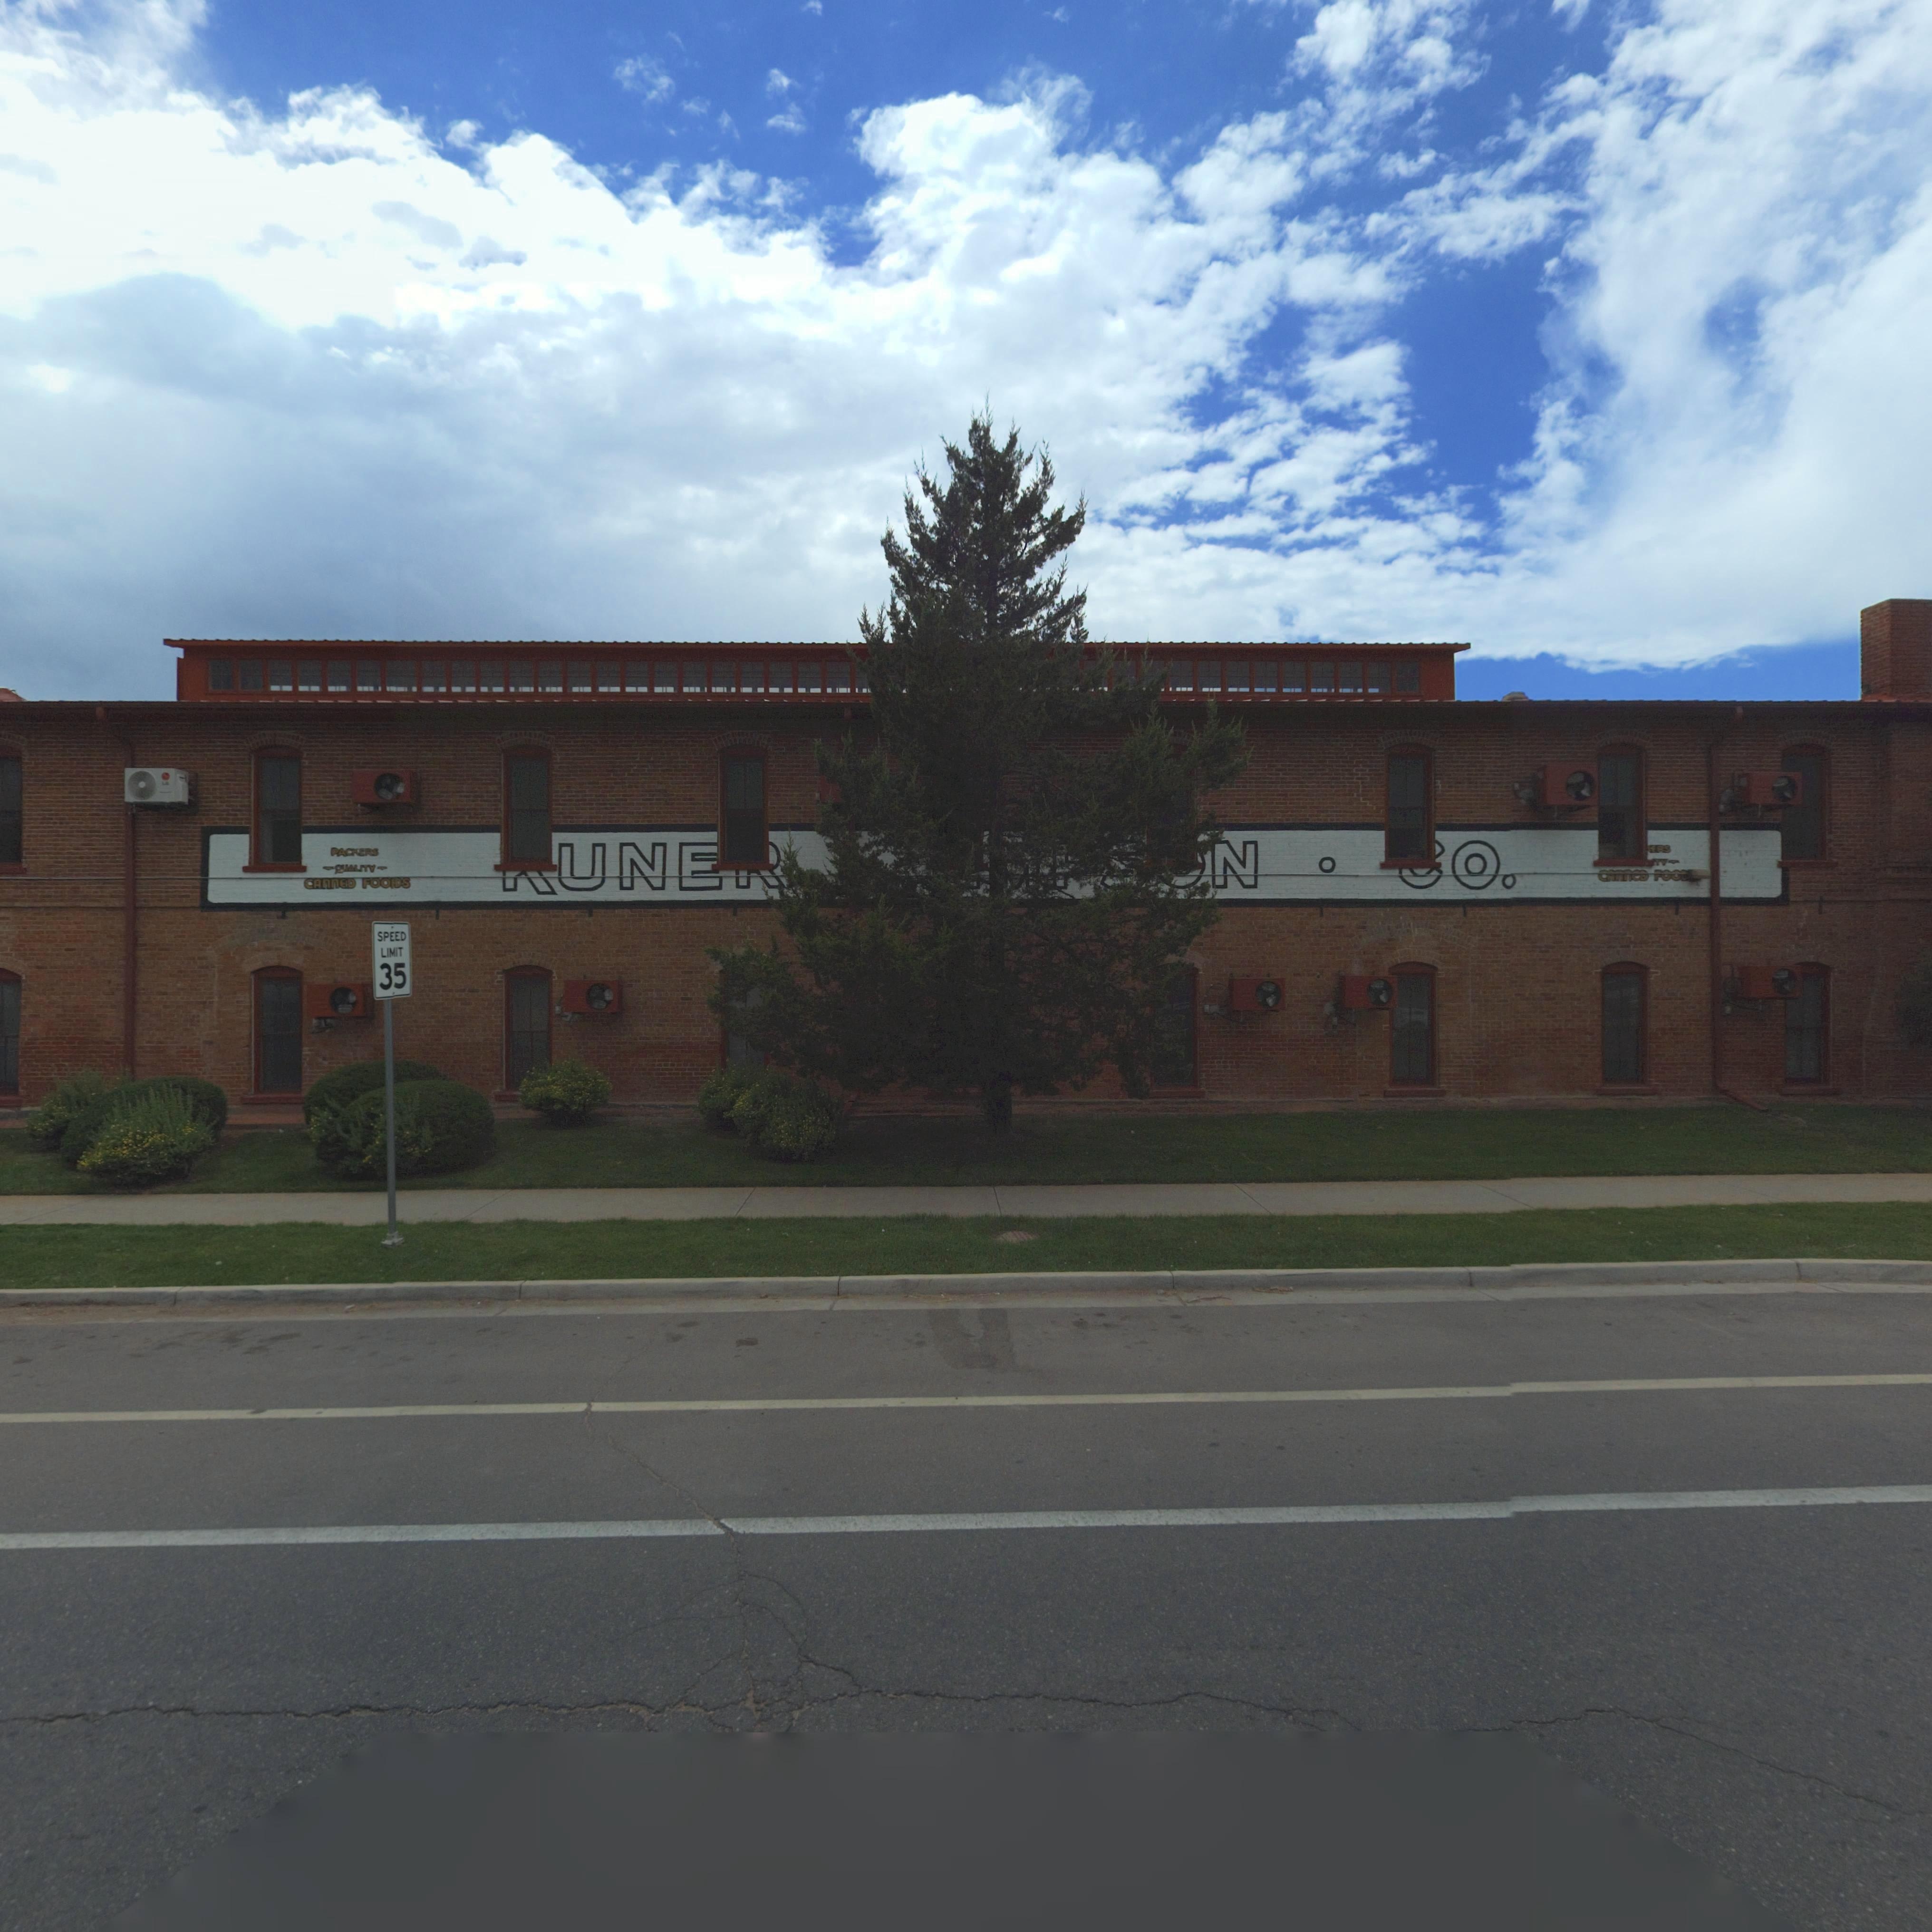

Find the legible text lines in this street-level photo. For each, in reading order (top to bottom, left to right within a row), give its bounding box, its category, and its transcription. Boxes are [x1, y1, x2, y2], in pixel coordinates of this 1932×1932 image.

[557, 841, 722, 892] BusinessName: UNE
[1207, 837, 1261, 892] BusinessName: N
[1449, 837, 1518, 894] BusinessName: O.